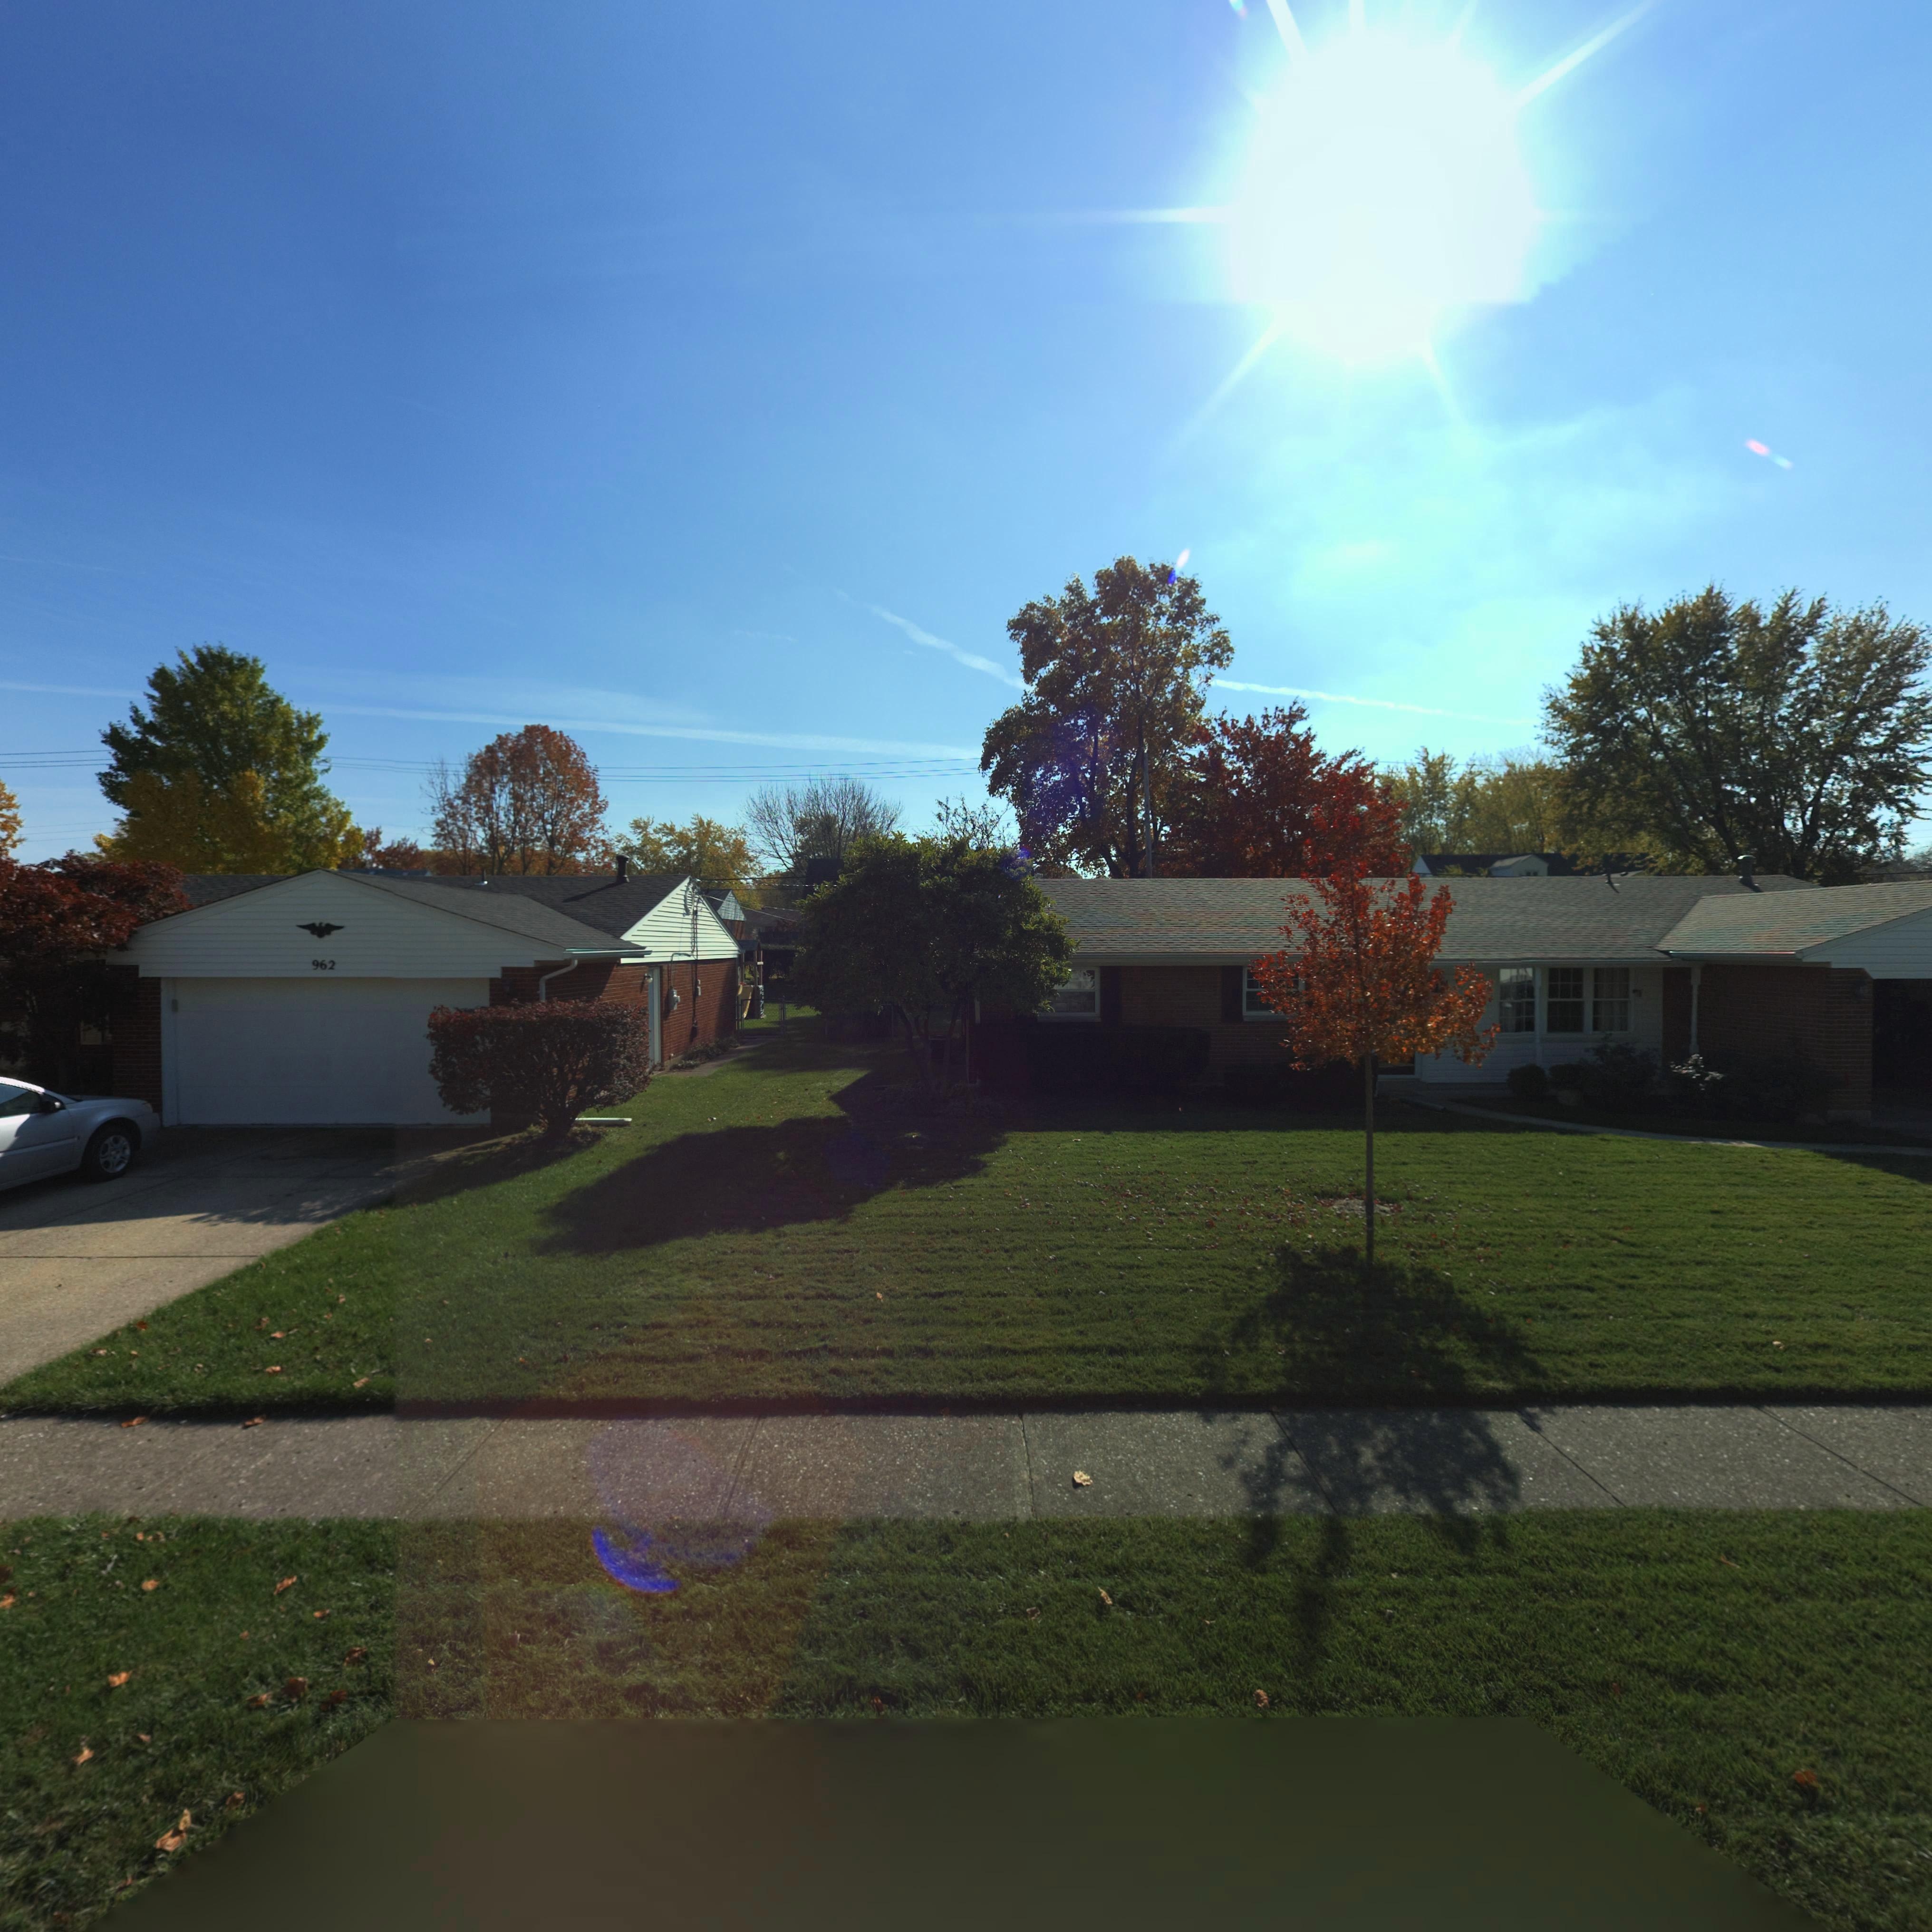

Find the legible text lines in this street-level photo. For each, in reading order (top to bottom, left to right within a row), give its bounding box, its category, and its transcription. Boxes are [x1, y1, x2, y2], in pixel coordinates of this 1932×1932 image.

[311, 958, 336, 971] StreetNumber: 962